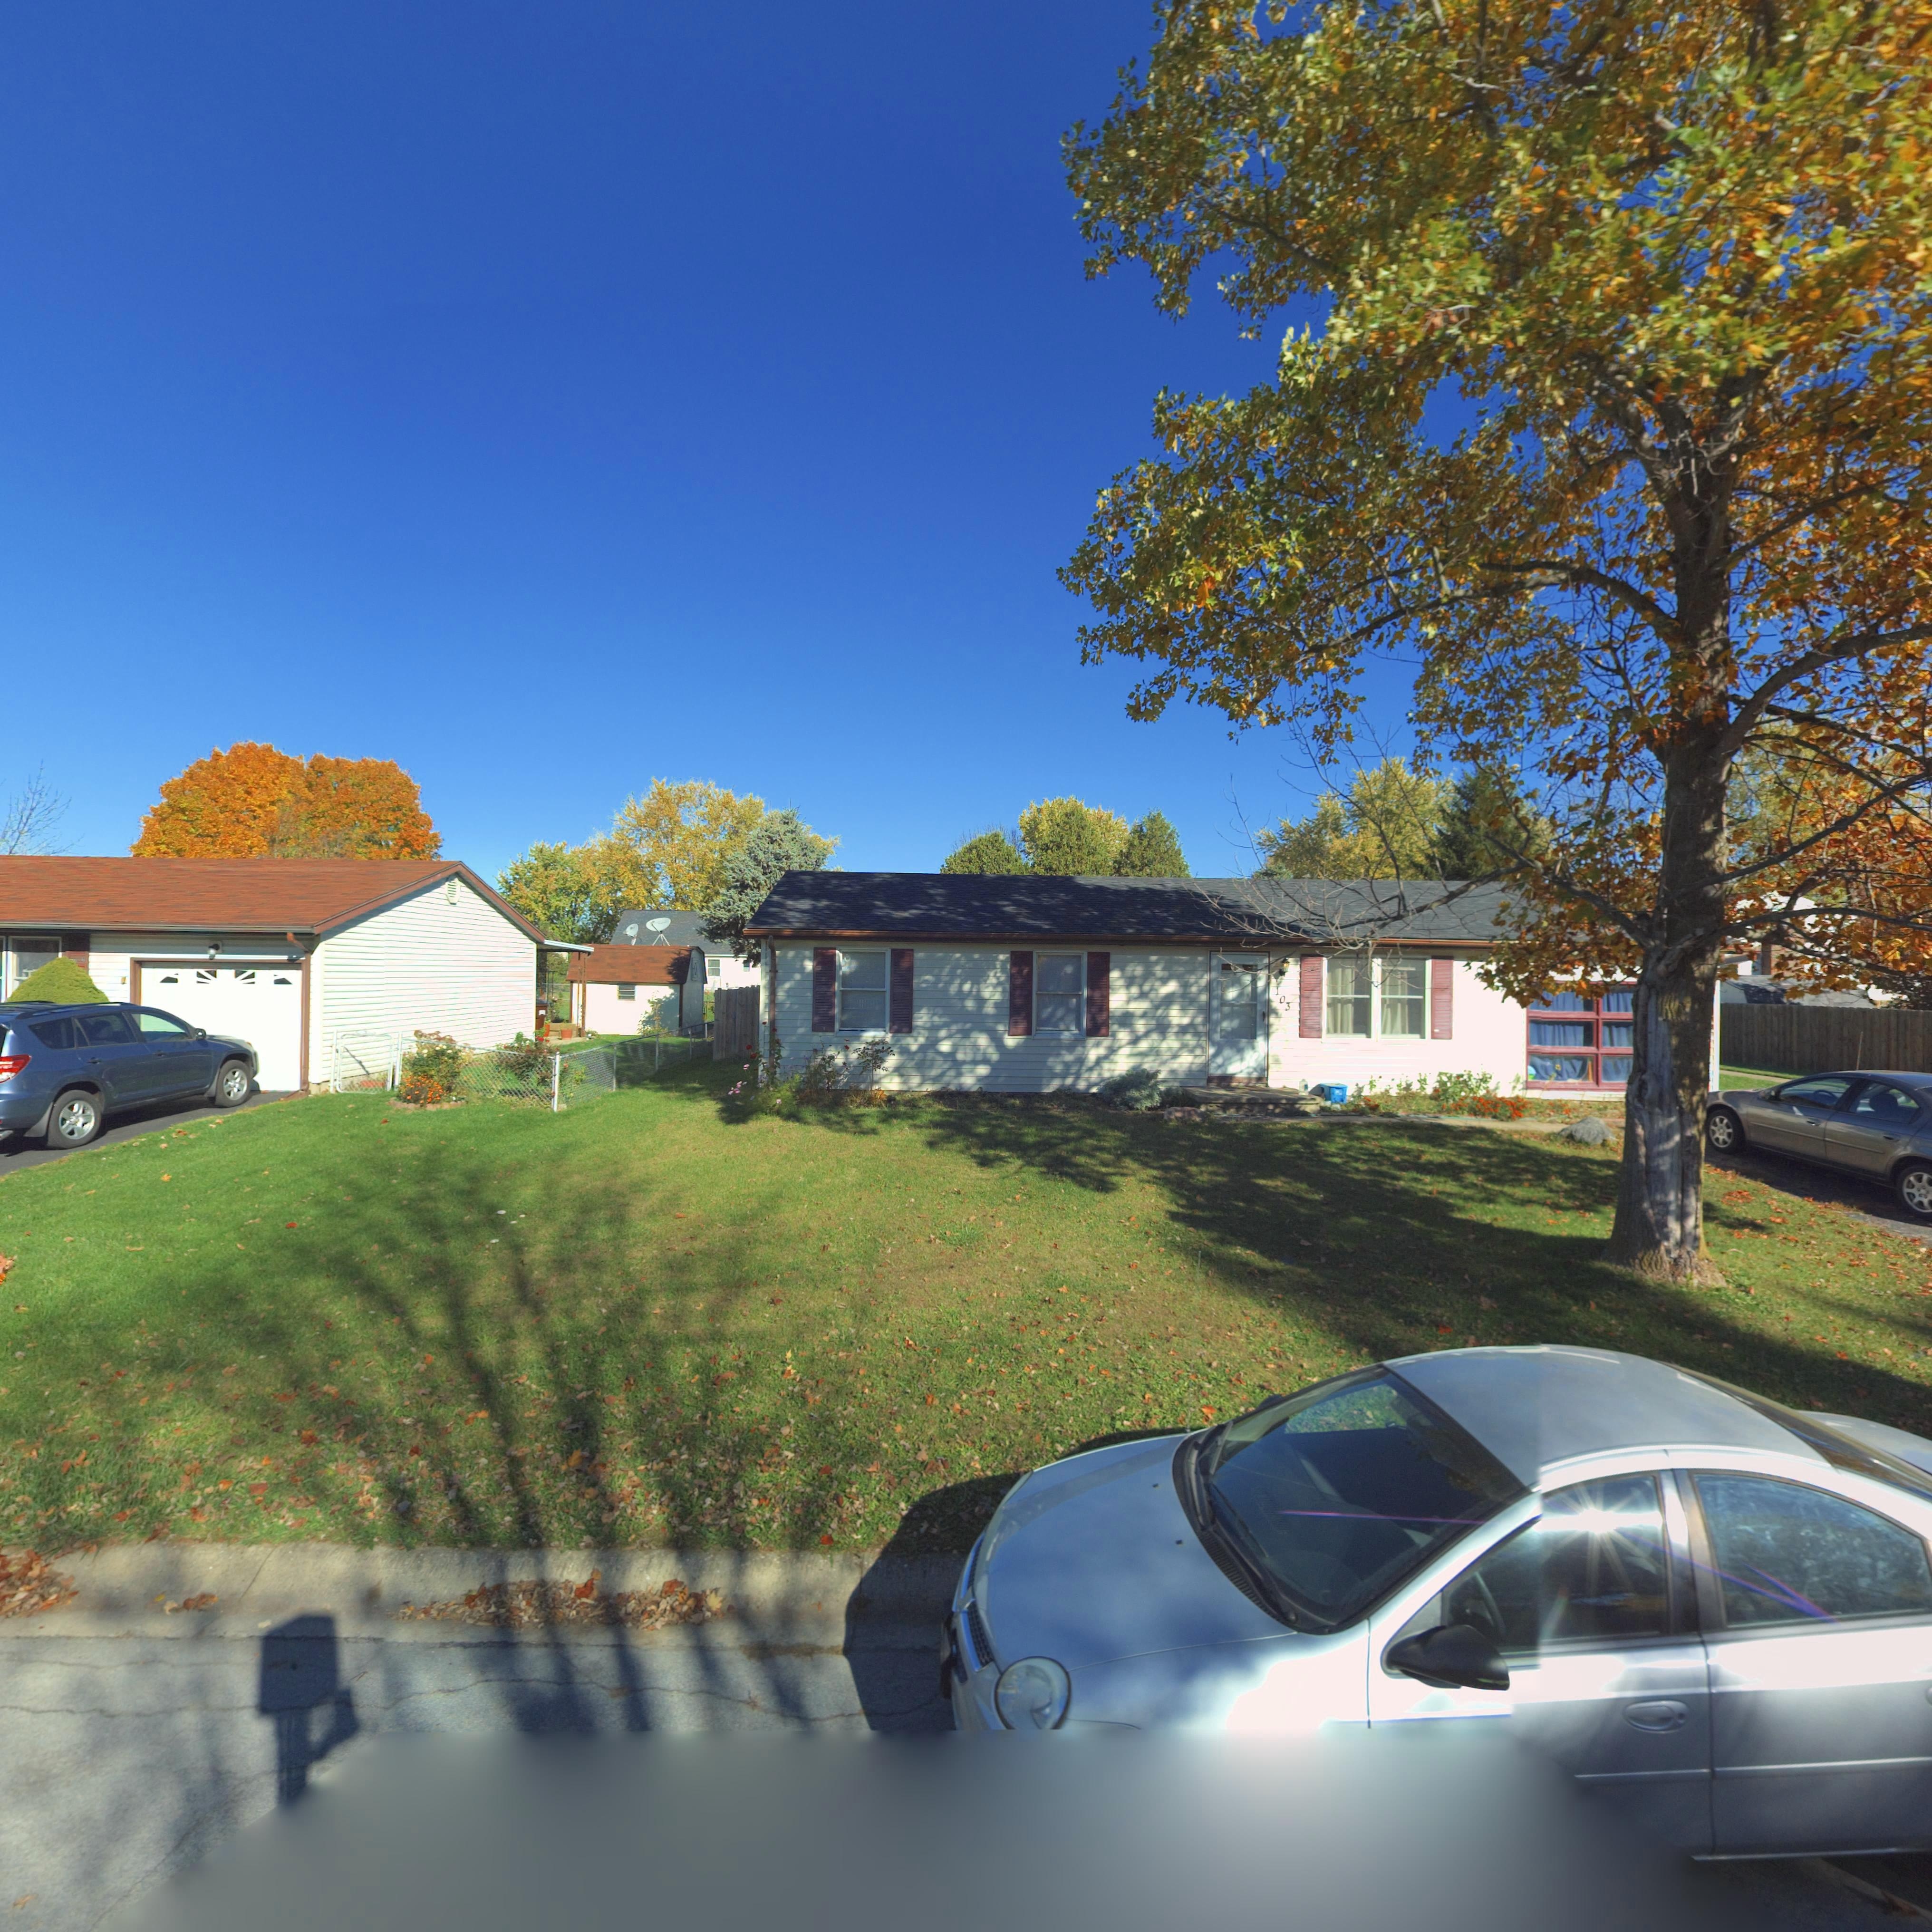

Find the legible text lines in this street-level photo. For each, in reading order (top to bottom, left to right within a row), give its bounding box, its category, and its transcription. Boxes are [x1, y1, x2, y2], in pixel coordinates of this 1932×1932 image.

[1274, 985, 1292, 1012] StreetNumber: 103